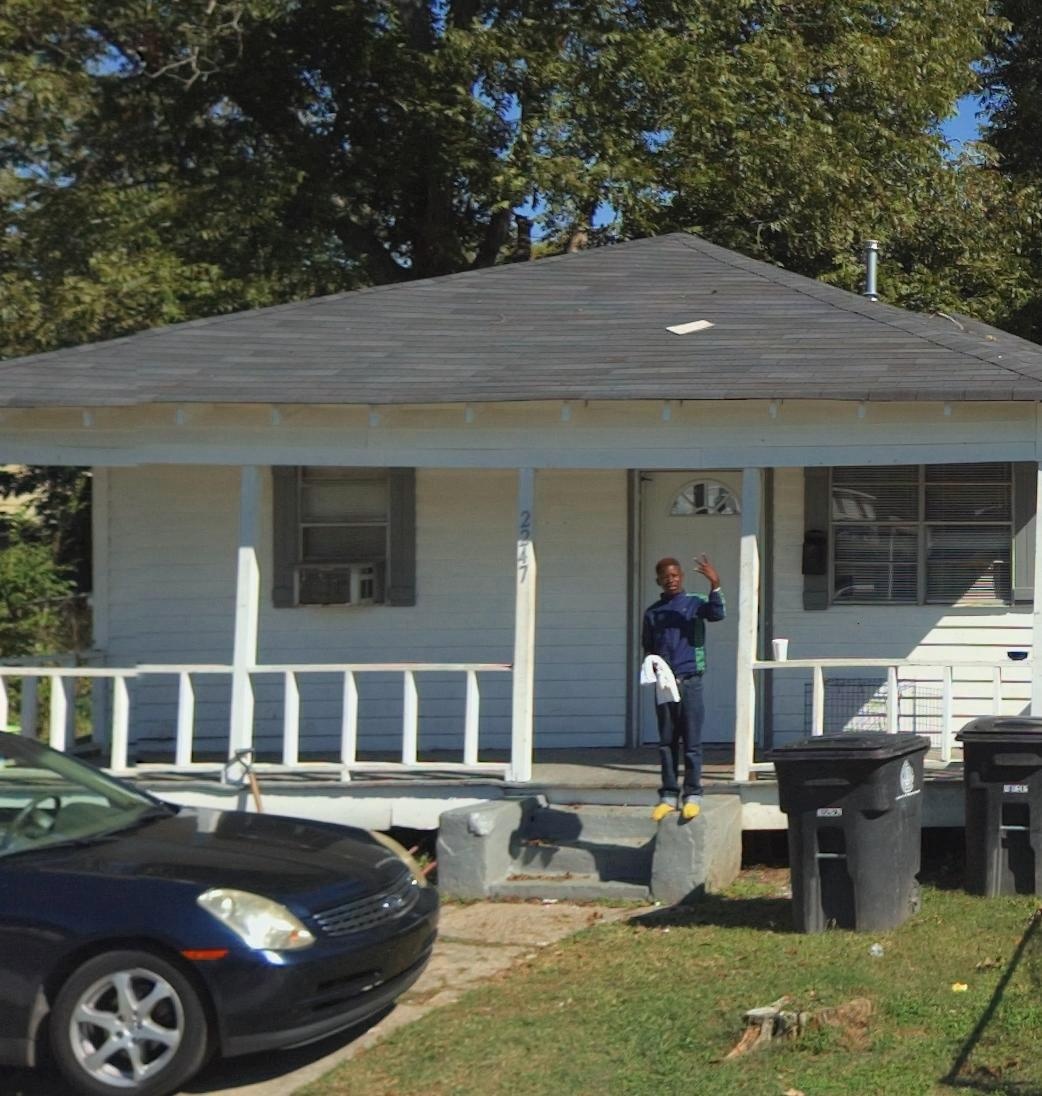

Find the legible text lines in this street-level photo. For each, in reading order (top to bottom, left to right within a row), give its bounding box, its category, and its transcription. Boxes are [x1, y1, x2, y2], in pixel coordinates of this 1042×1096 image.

[515, 508, 534, 586] StreetNumber: 2247